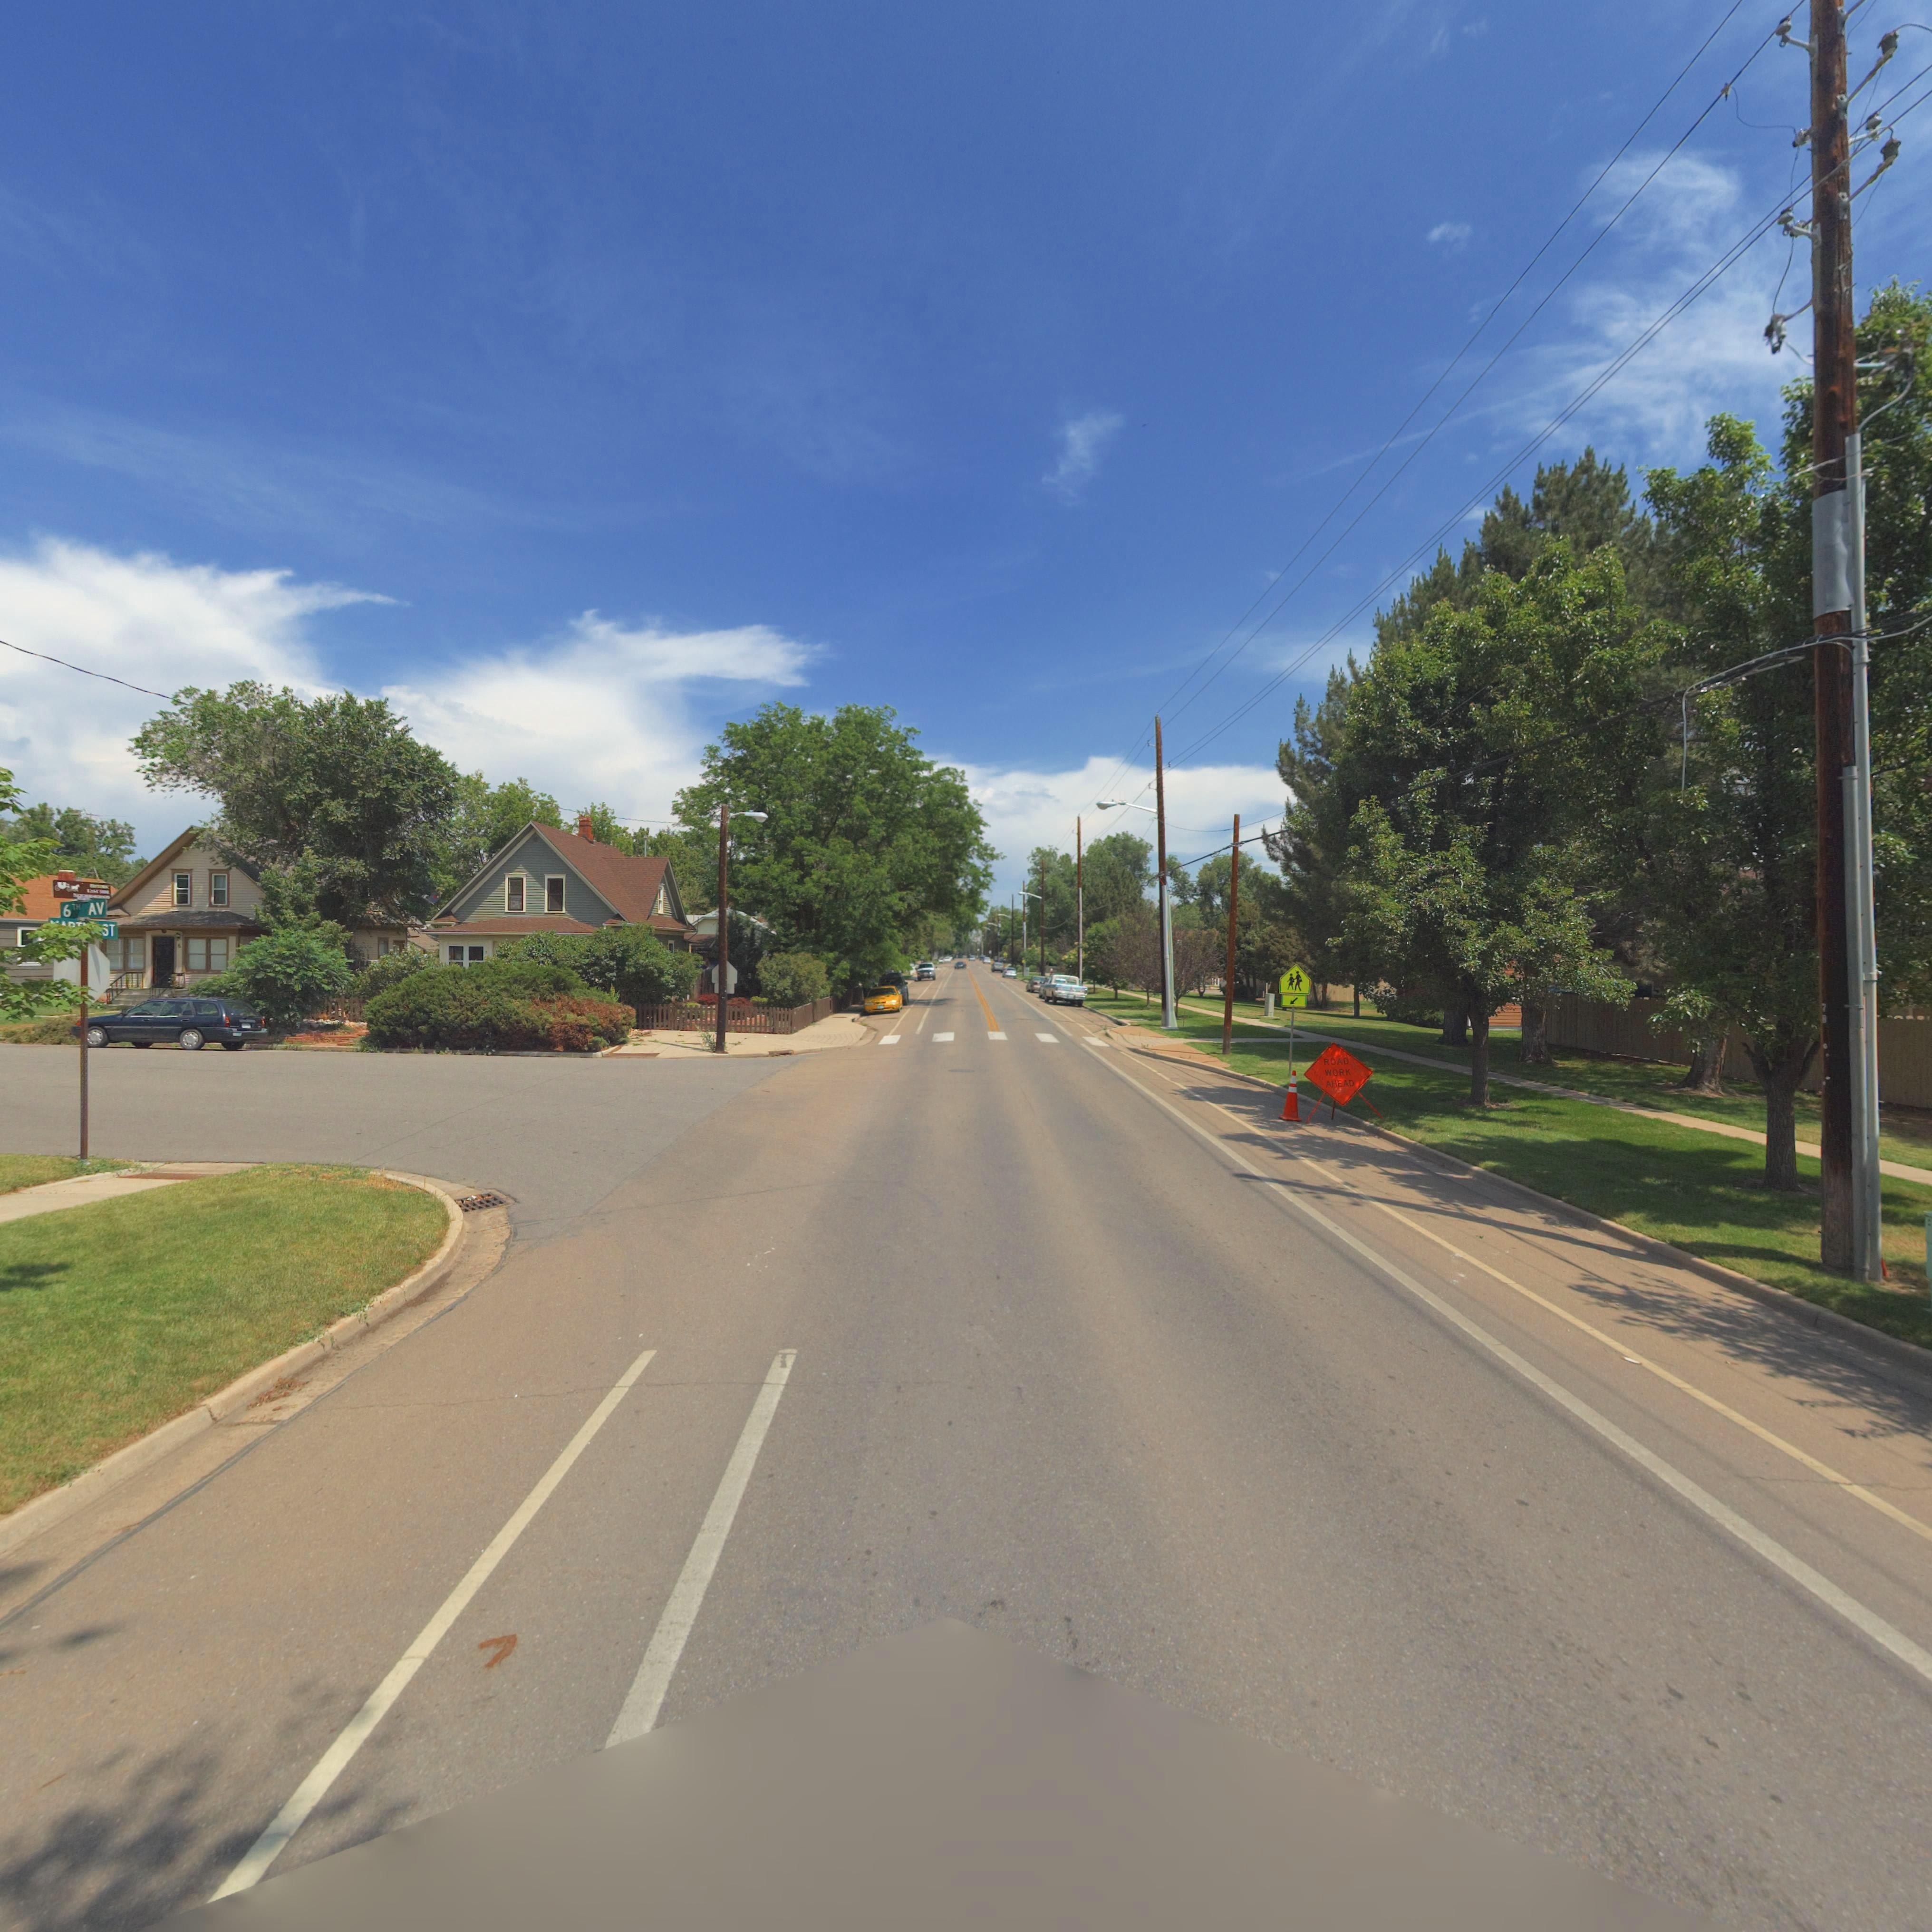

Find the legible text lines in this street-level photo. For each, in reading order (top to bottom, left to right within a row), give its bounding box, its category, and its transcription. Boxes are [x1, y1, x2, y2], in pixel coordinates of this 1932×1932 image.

[63, 901, 105, 918] StreetName: 6TH  AV
[101, 923, 116, 937] StreetName: ST